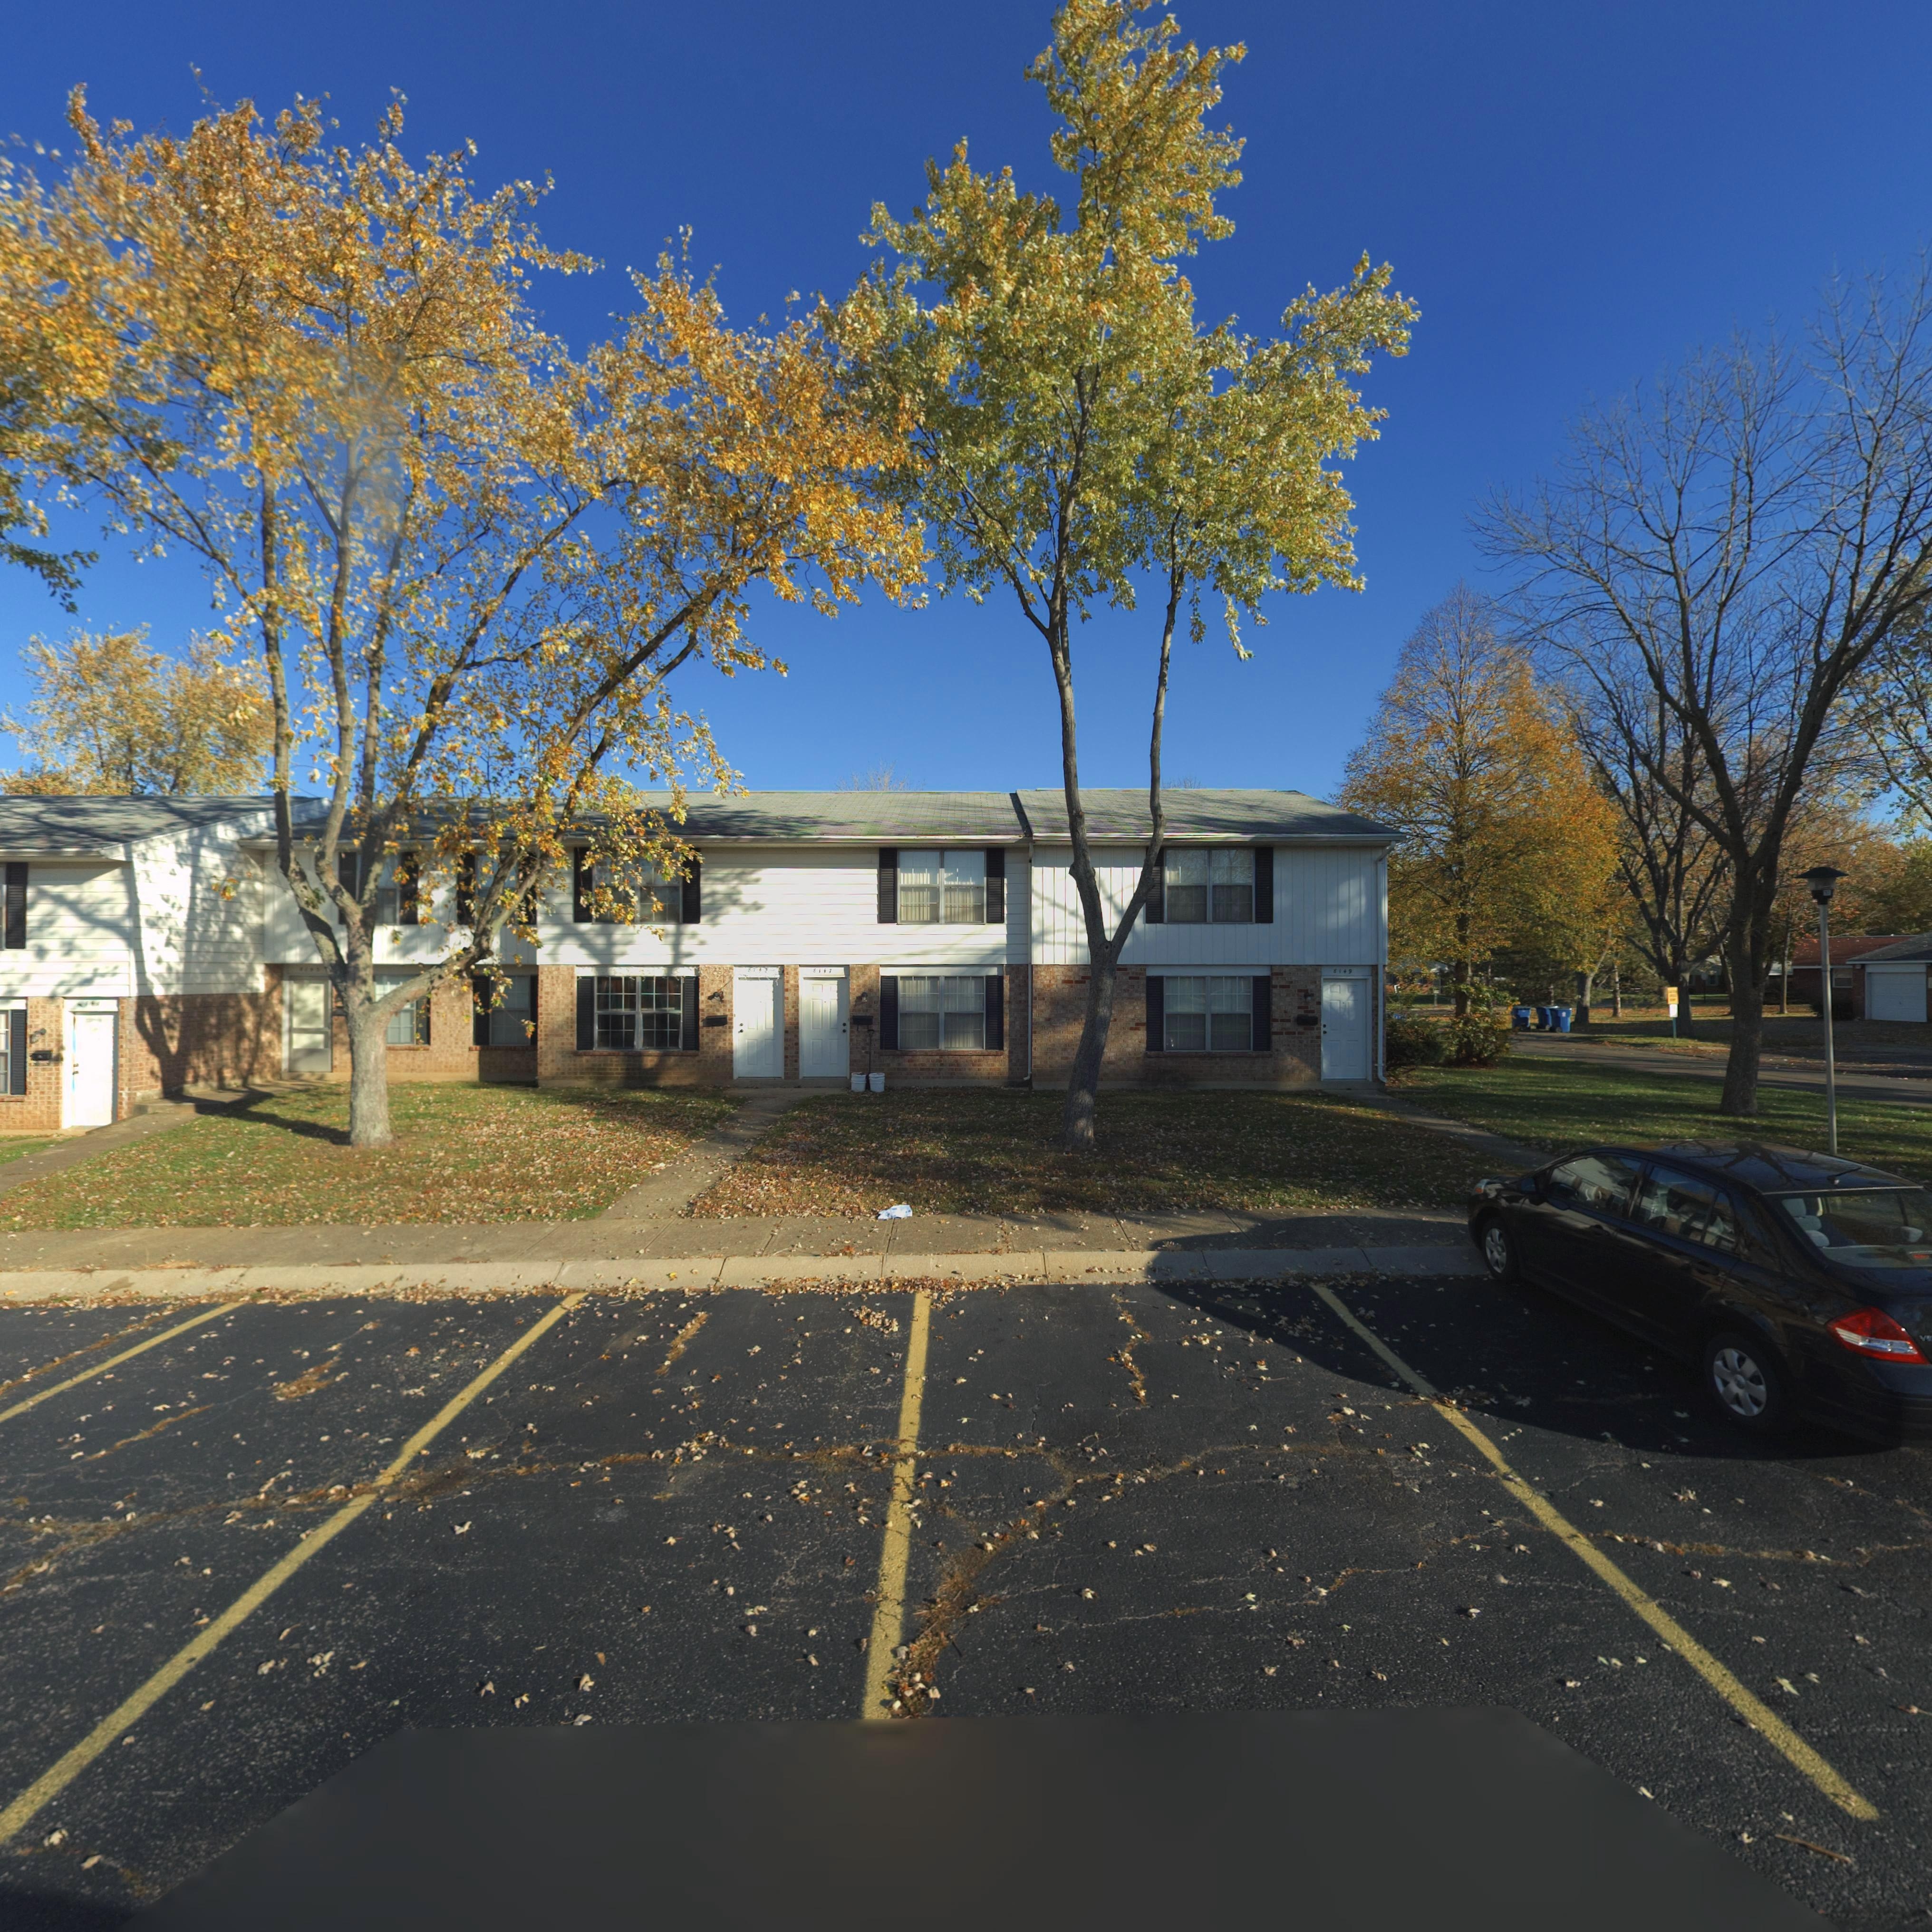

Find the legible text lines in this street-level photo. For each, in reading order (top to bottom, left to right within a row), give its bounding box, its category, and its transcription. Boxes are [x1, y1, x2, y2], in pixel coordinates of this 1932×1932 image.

[812, 967, 833, 975] StreetNumber: 8147
[1333, 967, 1353, 975] StreetNumber: 8149